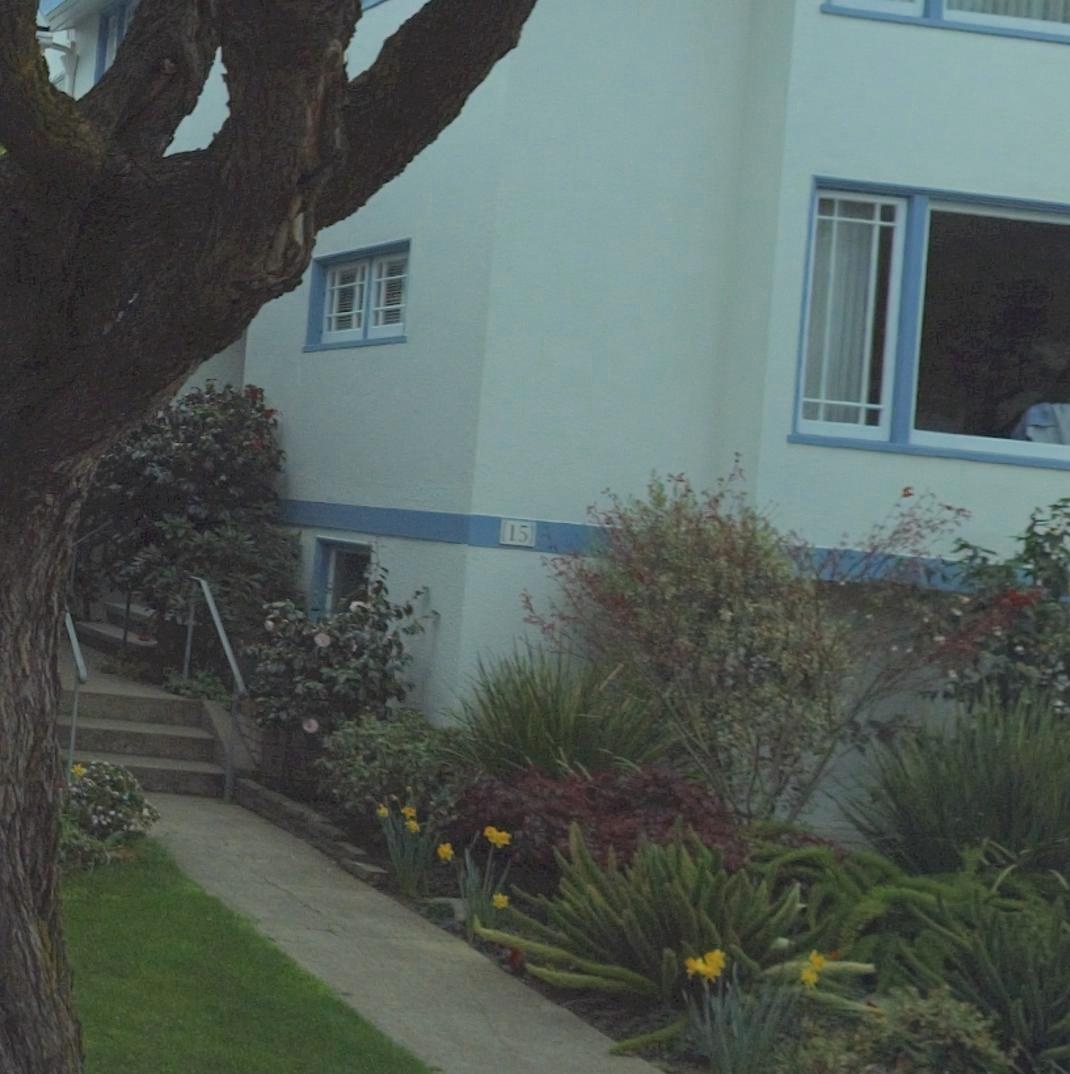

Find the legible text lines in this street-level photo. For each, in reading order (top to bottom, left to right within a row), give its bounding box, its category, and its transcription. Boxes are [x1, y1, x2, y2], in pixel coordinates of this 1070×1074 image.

[507, 522, 532, 545] StreetNumber: 15